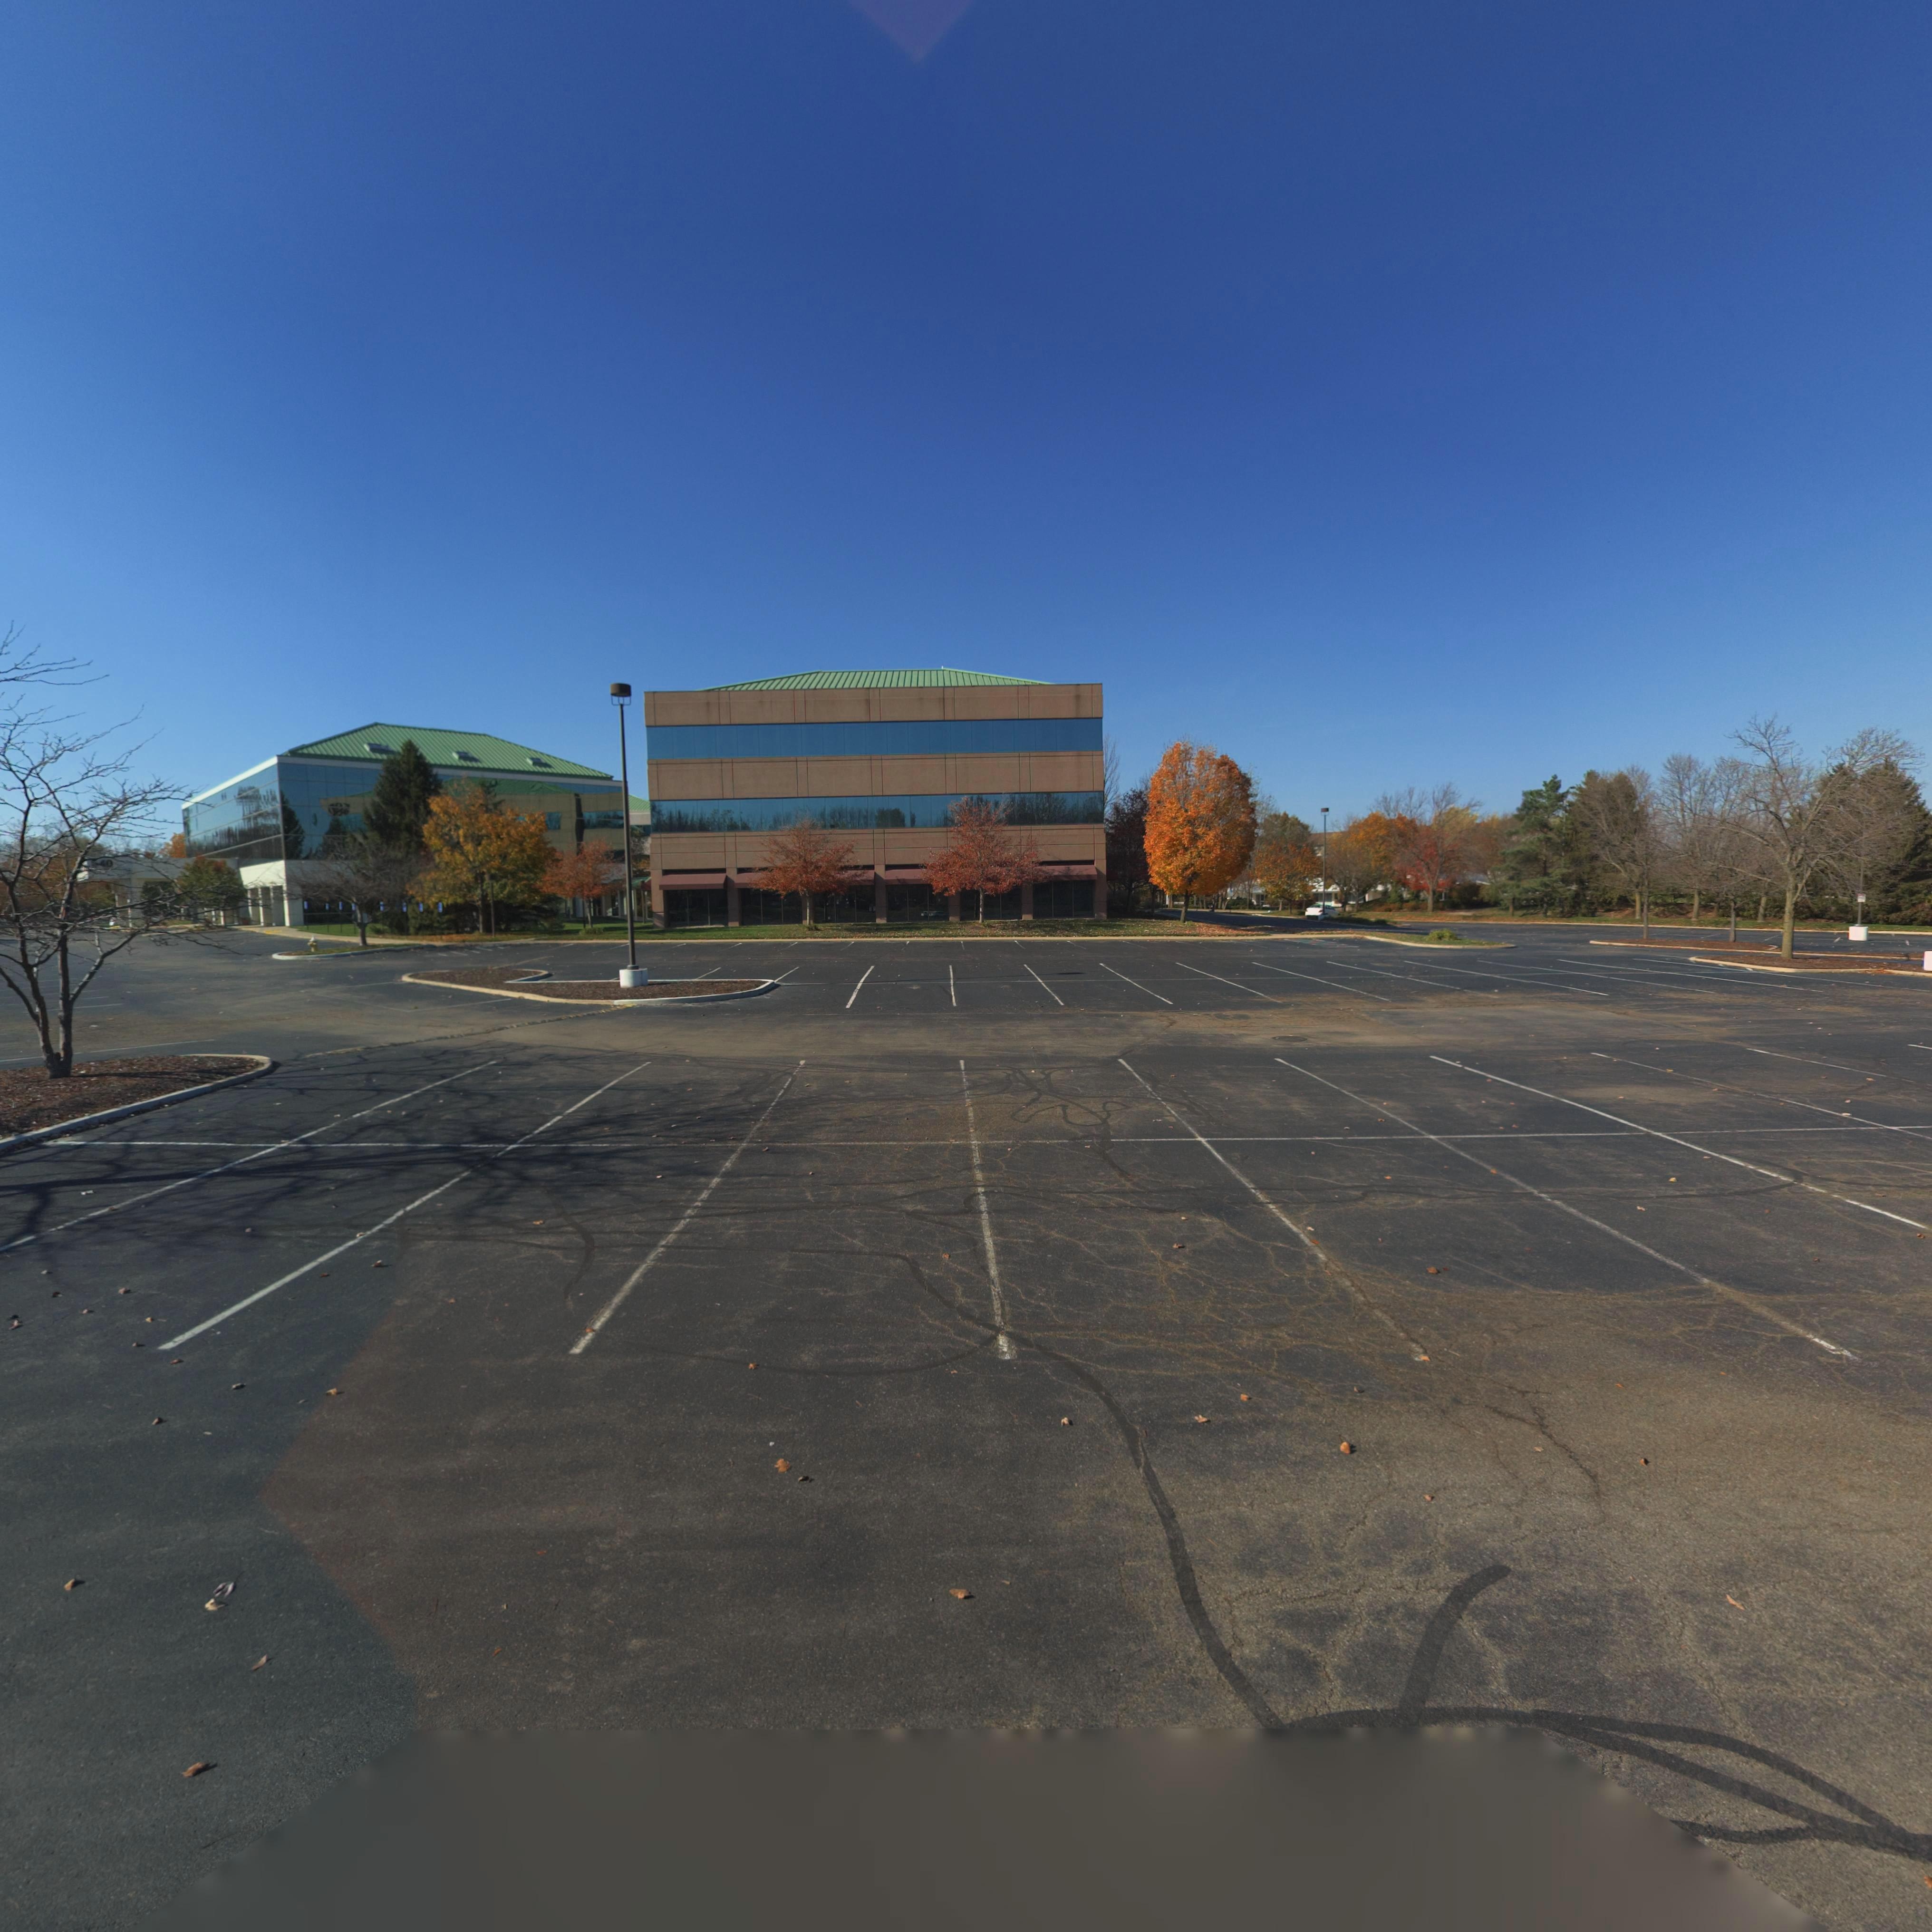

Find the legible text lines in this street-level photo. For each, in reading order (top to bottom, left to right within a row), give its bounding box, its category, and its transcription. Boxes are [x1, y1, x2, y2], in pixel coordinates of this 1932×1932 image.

[90, 859, 113, 867] StreetNumber: 540